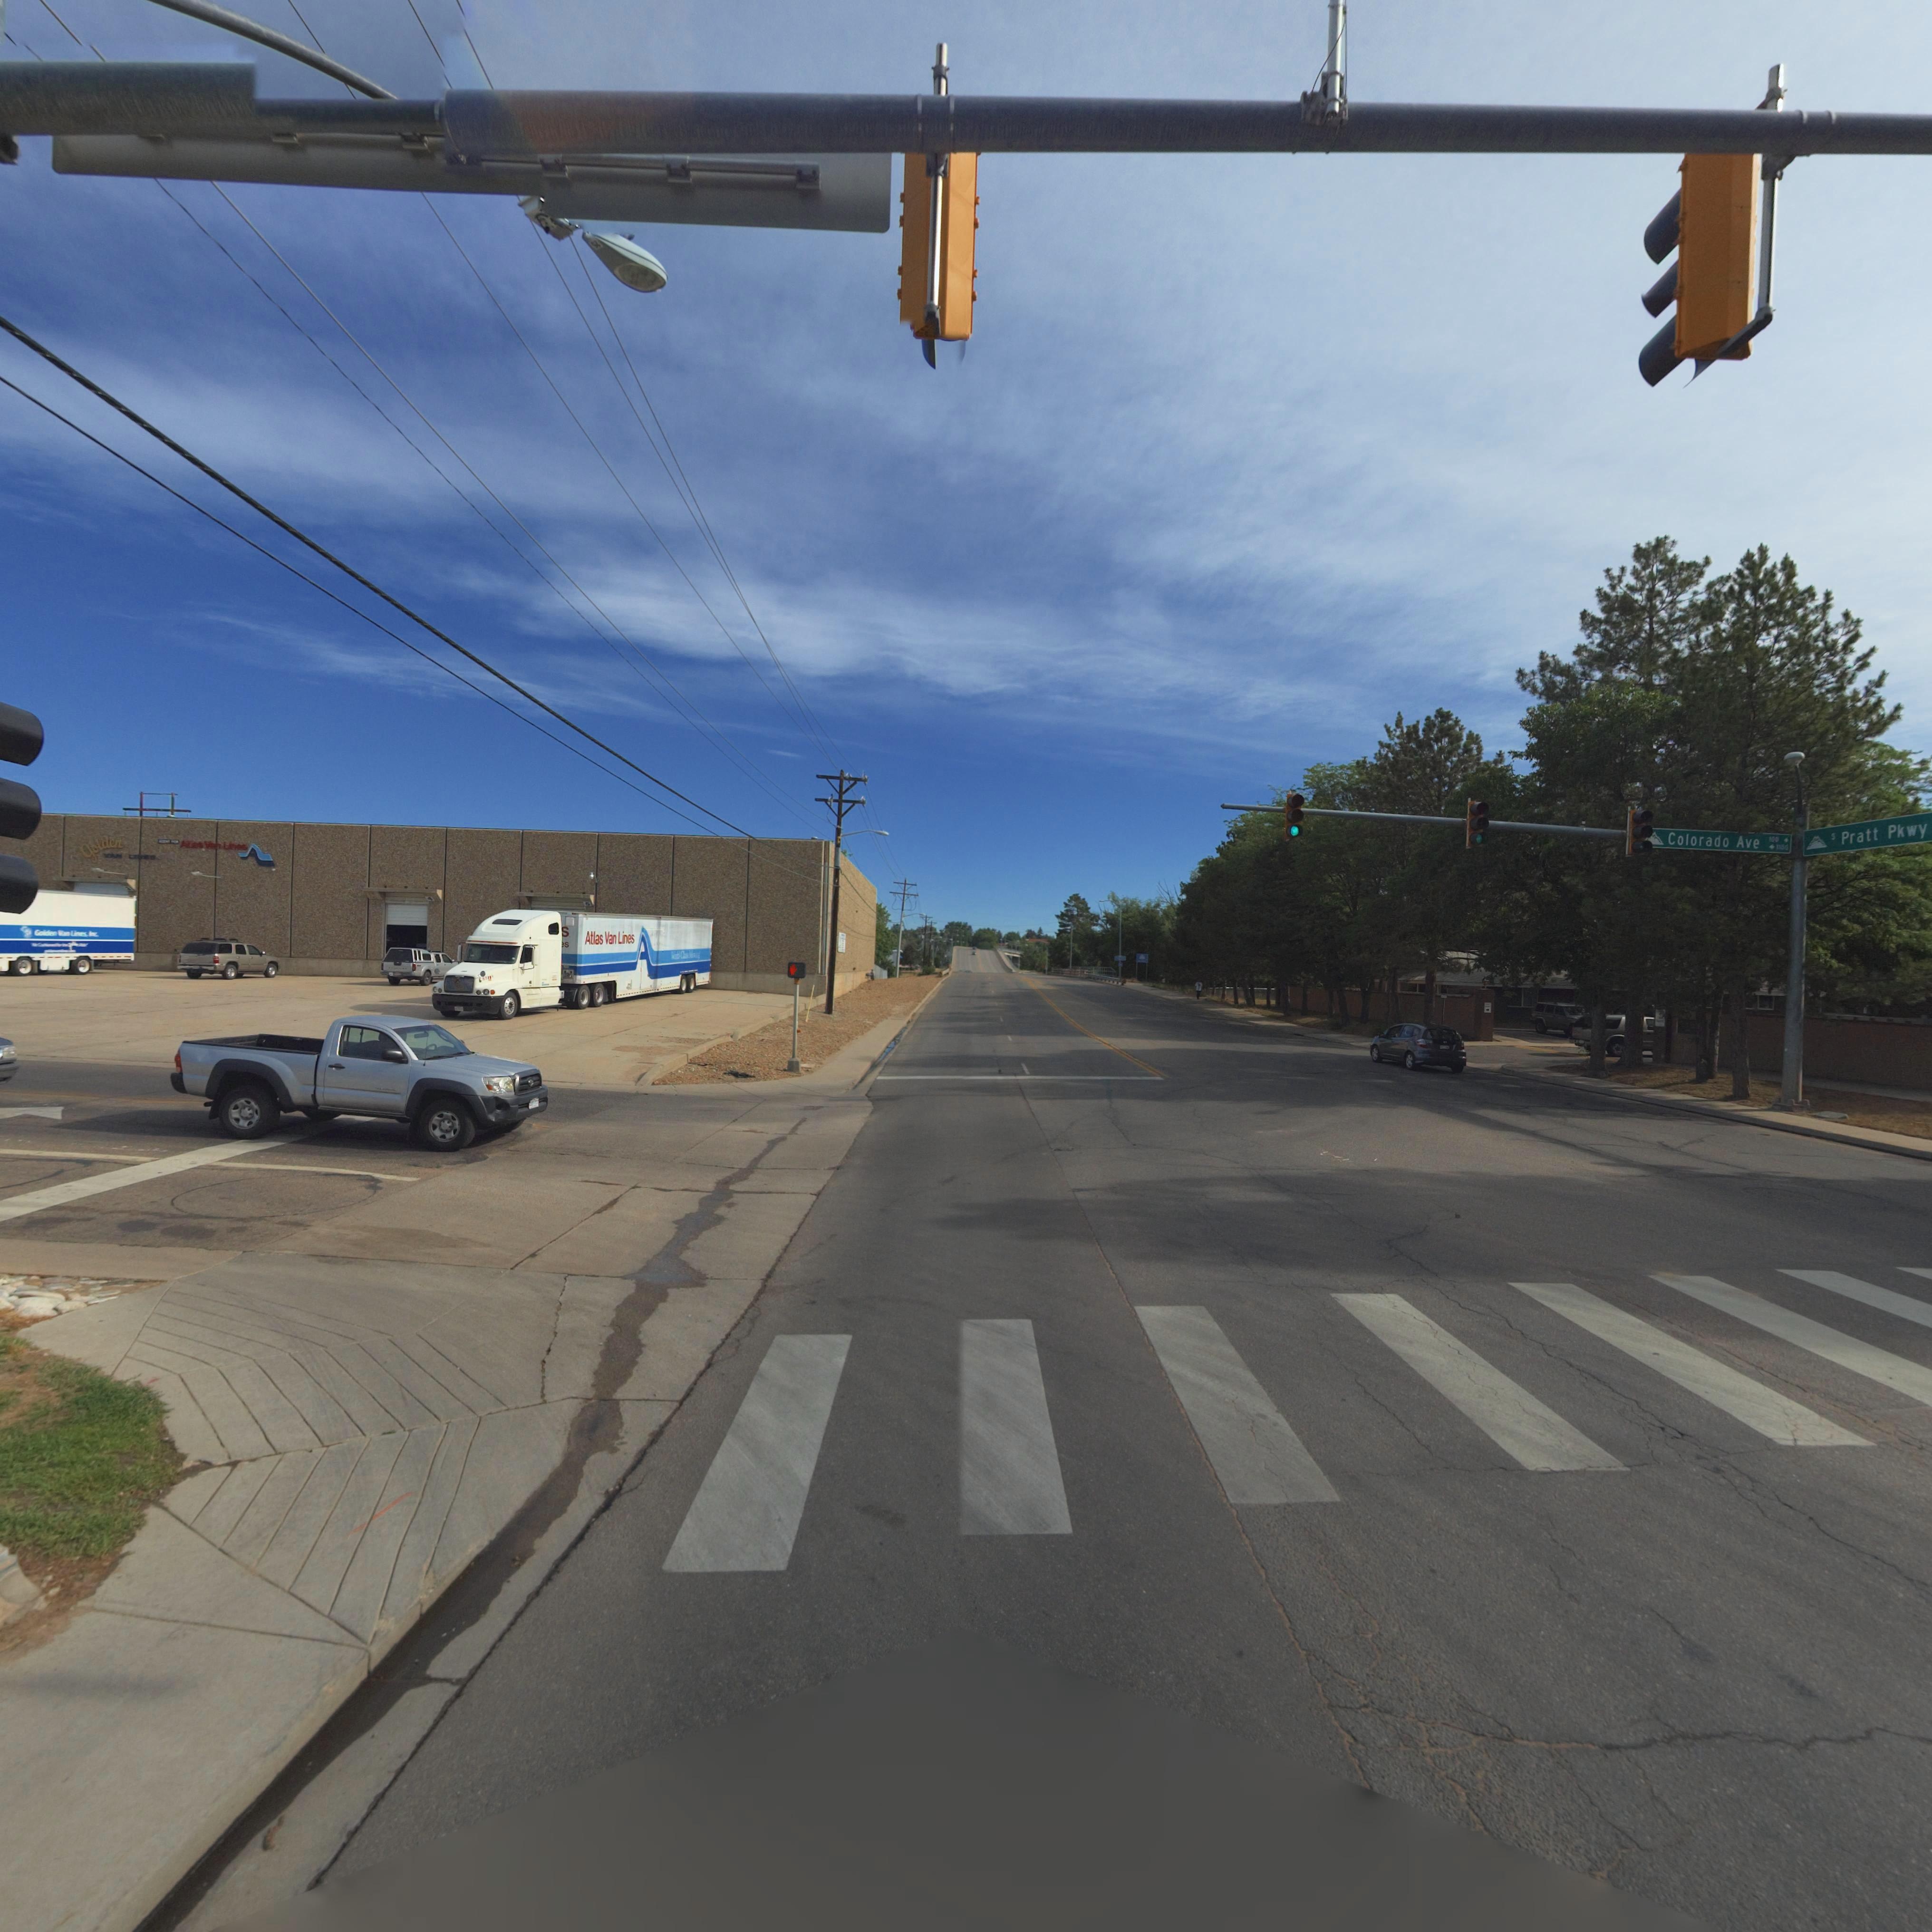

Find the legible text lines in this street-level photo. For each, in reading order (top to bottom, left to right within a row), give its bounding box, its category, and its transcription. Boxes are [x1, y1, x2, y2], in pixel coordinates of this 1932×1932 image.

[79, 834, 125, 863] BusinessName: golden
[178, 840, 248, 850] BusinessName: Atlas Van Lines
[1667, 831, 1760, 849] StreetName: Colorado Ave
[1768, 835, 1779, 842] StreetNumberRange: 100
[1768, 843, 1788, 850] StreetNumberRange: <-1150
[1830, 823, 1928, 845] StreetName: S Pratt Pkwy